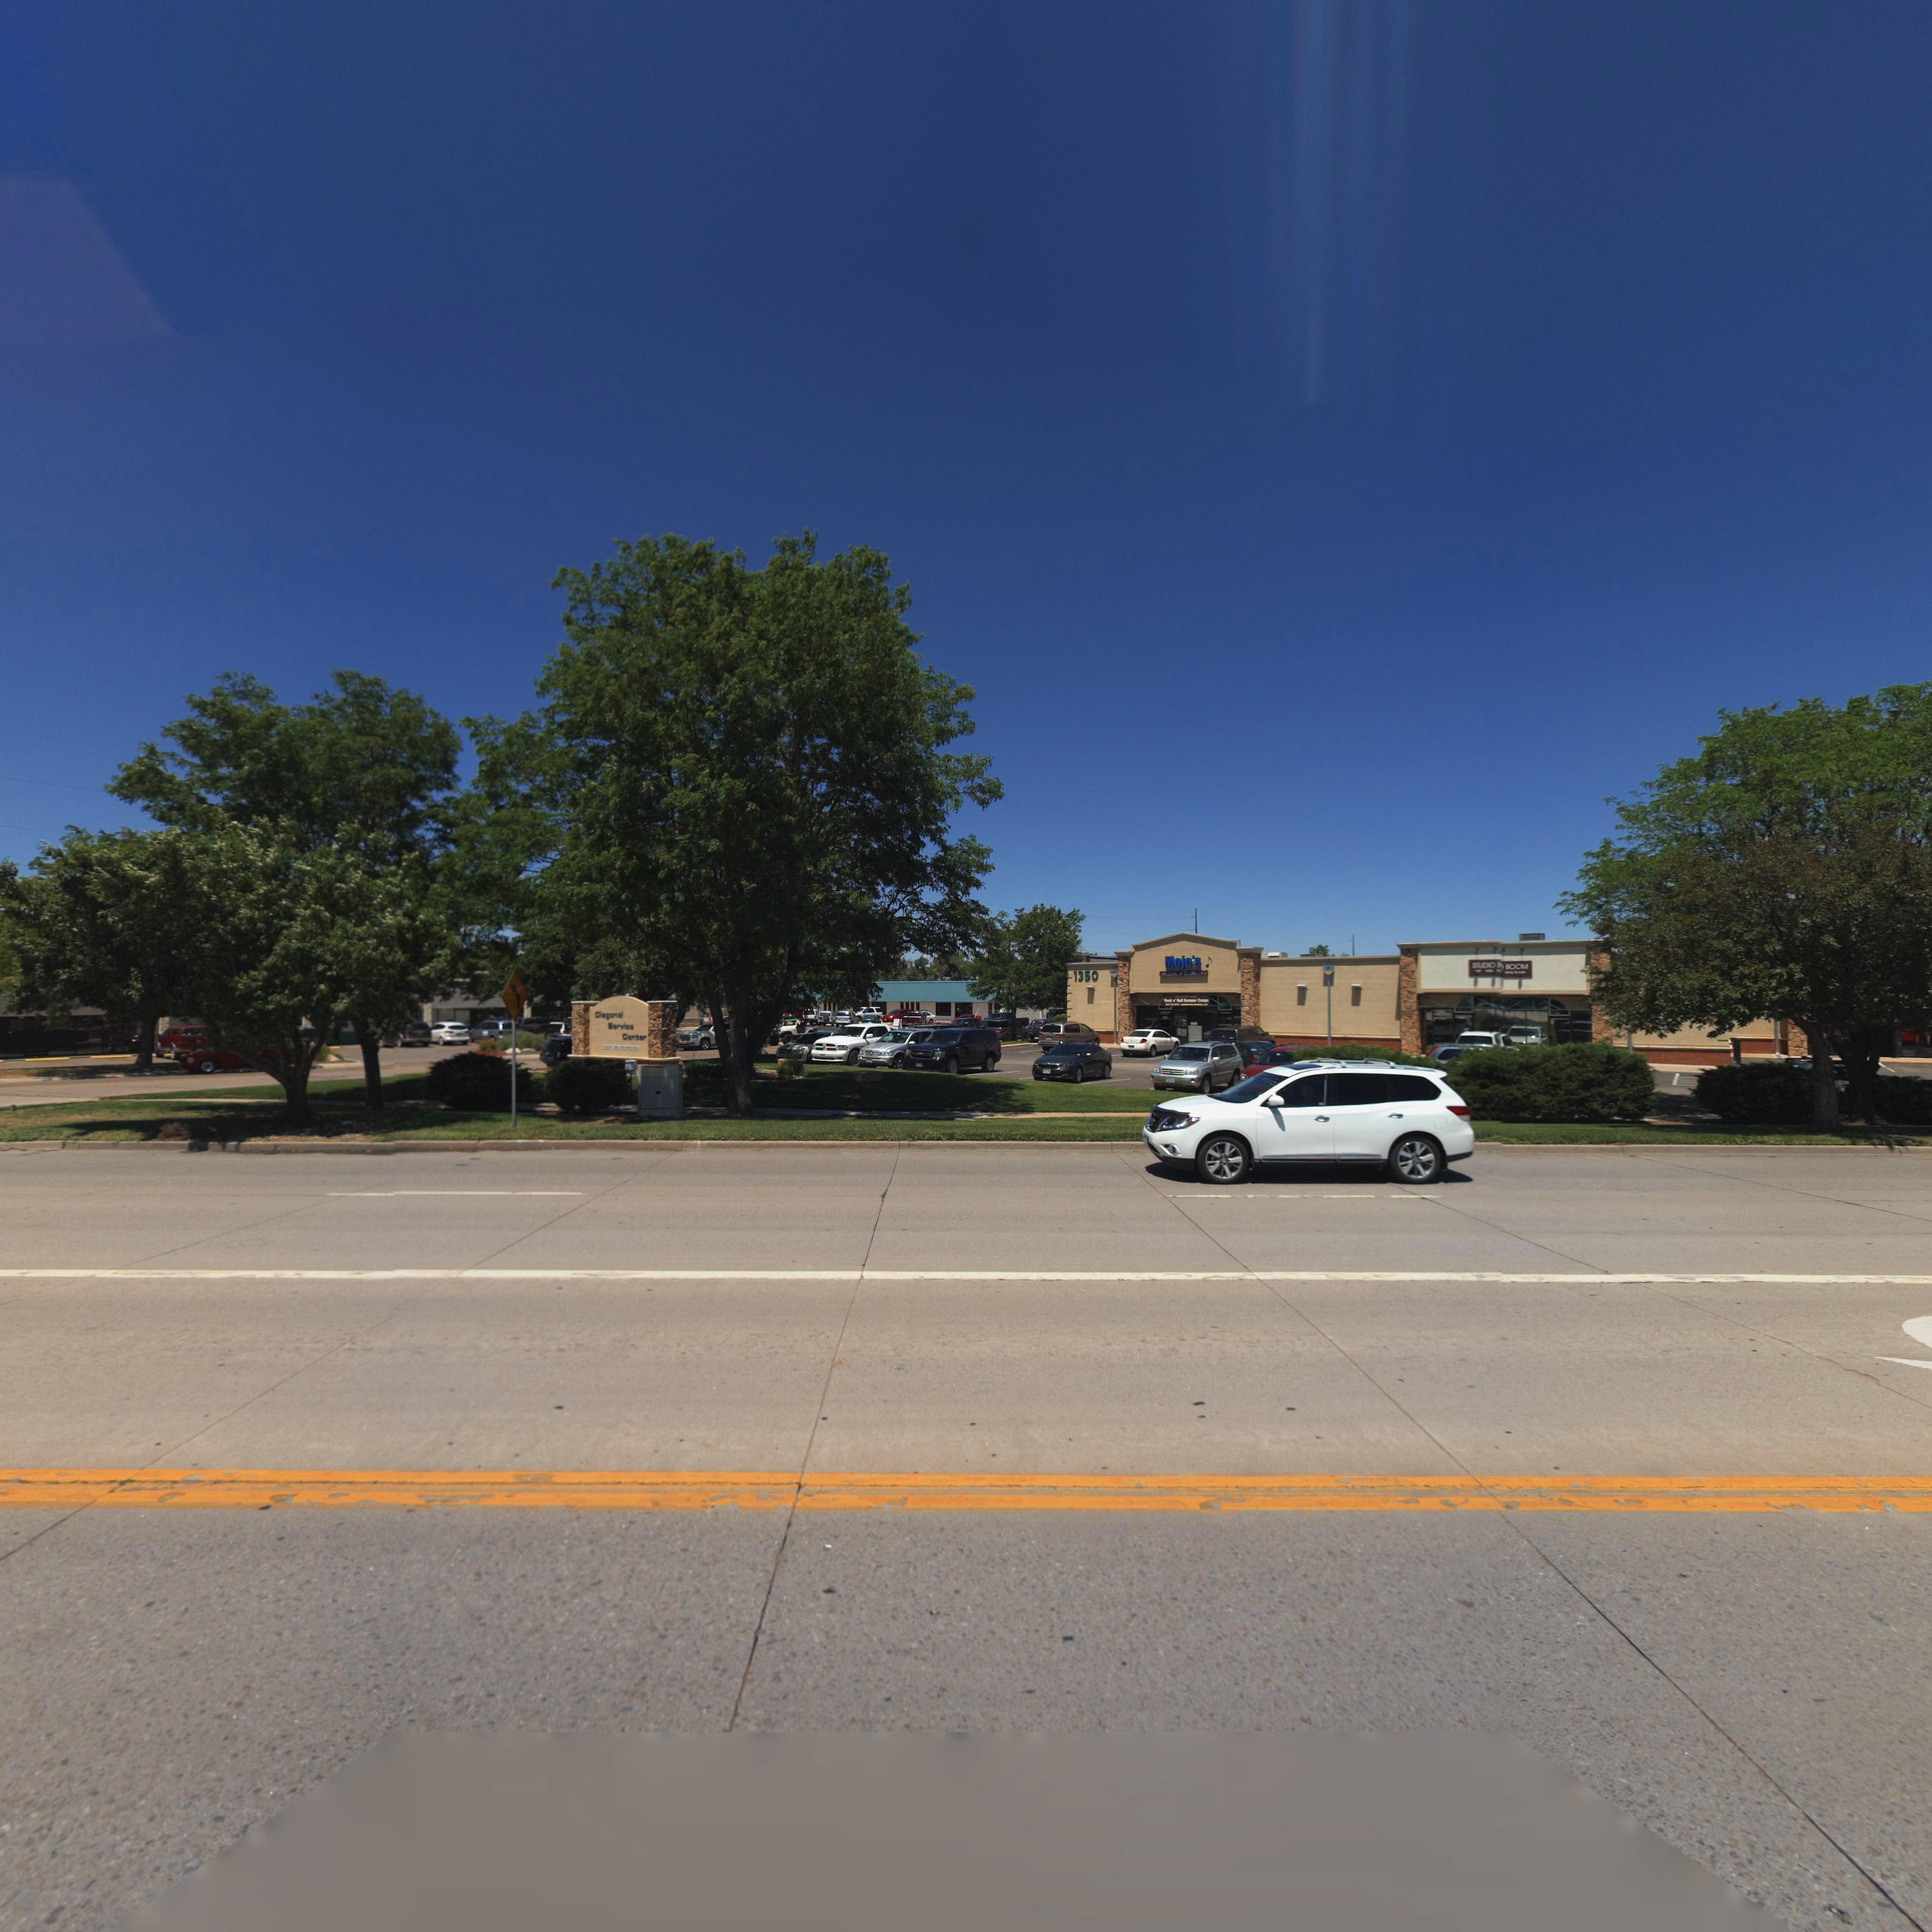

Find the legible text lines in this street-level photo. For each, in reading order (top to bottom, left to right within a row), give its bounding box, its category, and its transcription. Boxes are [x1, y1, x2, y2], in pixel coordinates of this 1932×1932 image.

[1165, 955, 1201, 969] BusinessName: Mojo's
[1471, 961, 1528, 970] BusinessName: STUDIO ** BOOM
[1073, 969, 1099, 980] StreetNumber: 1350
[1162, 971, 1204, 976] BusinessName: MUSIC ACADEMY